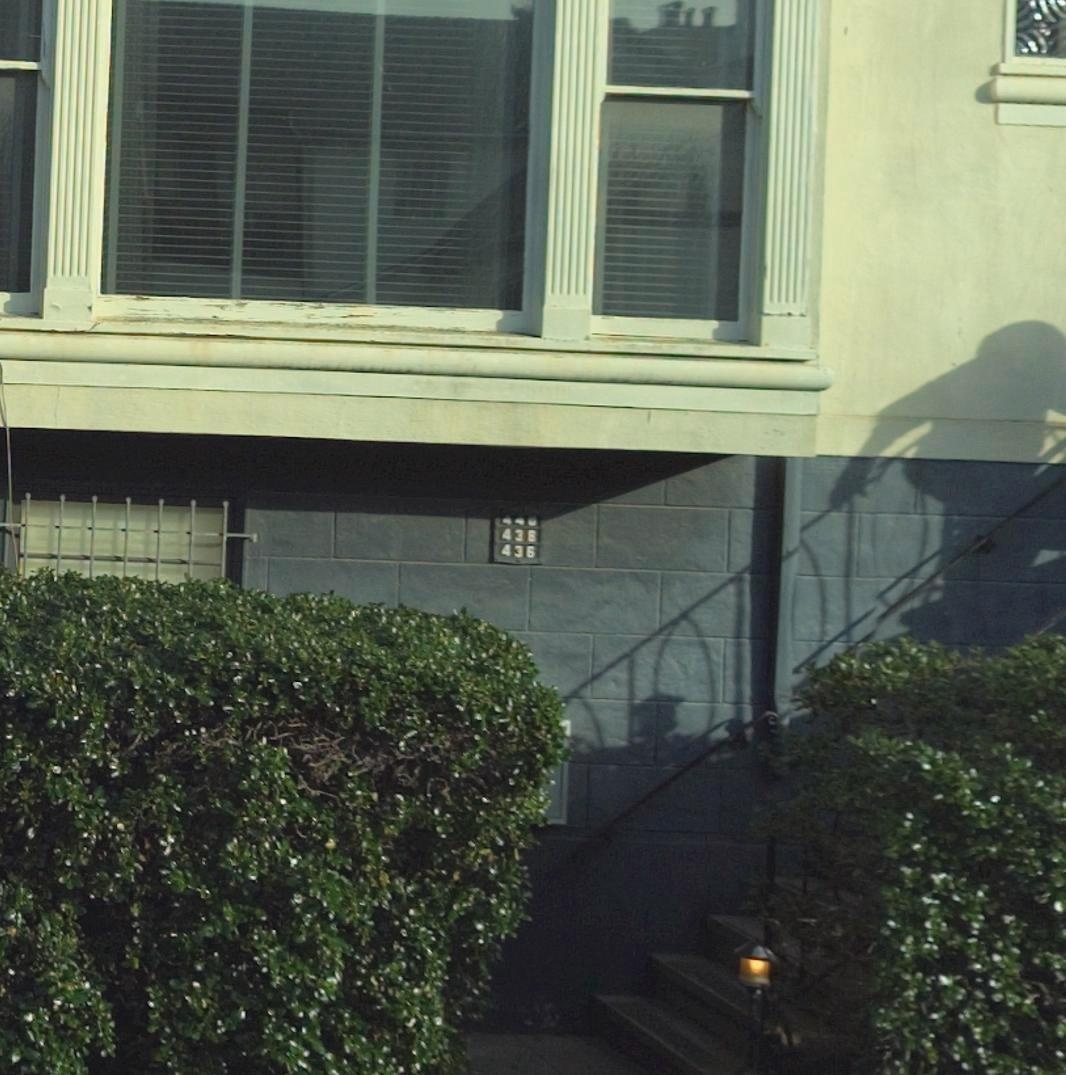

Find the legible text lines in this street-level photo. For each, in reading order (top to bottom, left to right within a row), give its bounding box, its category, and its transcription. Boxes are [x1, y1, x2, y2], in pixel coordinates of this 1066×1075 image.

[498, 526, 539, 545] StreetNumber: 438
[497, 541, 537, 561] StreetNumber: 436